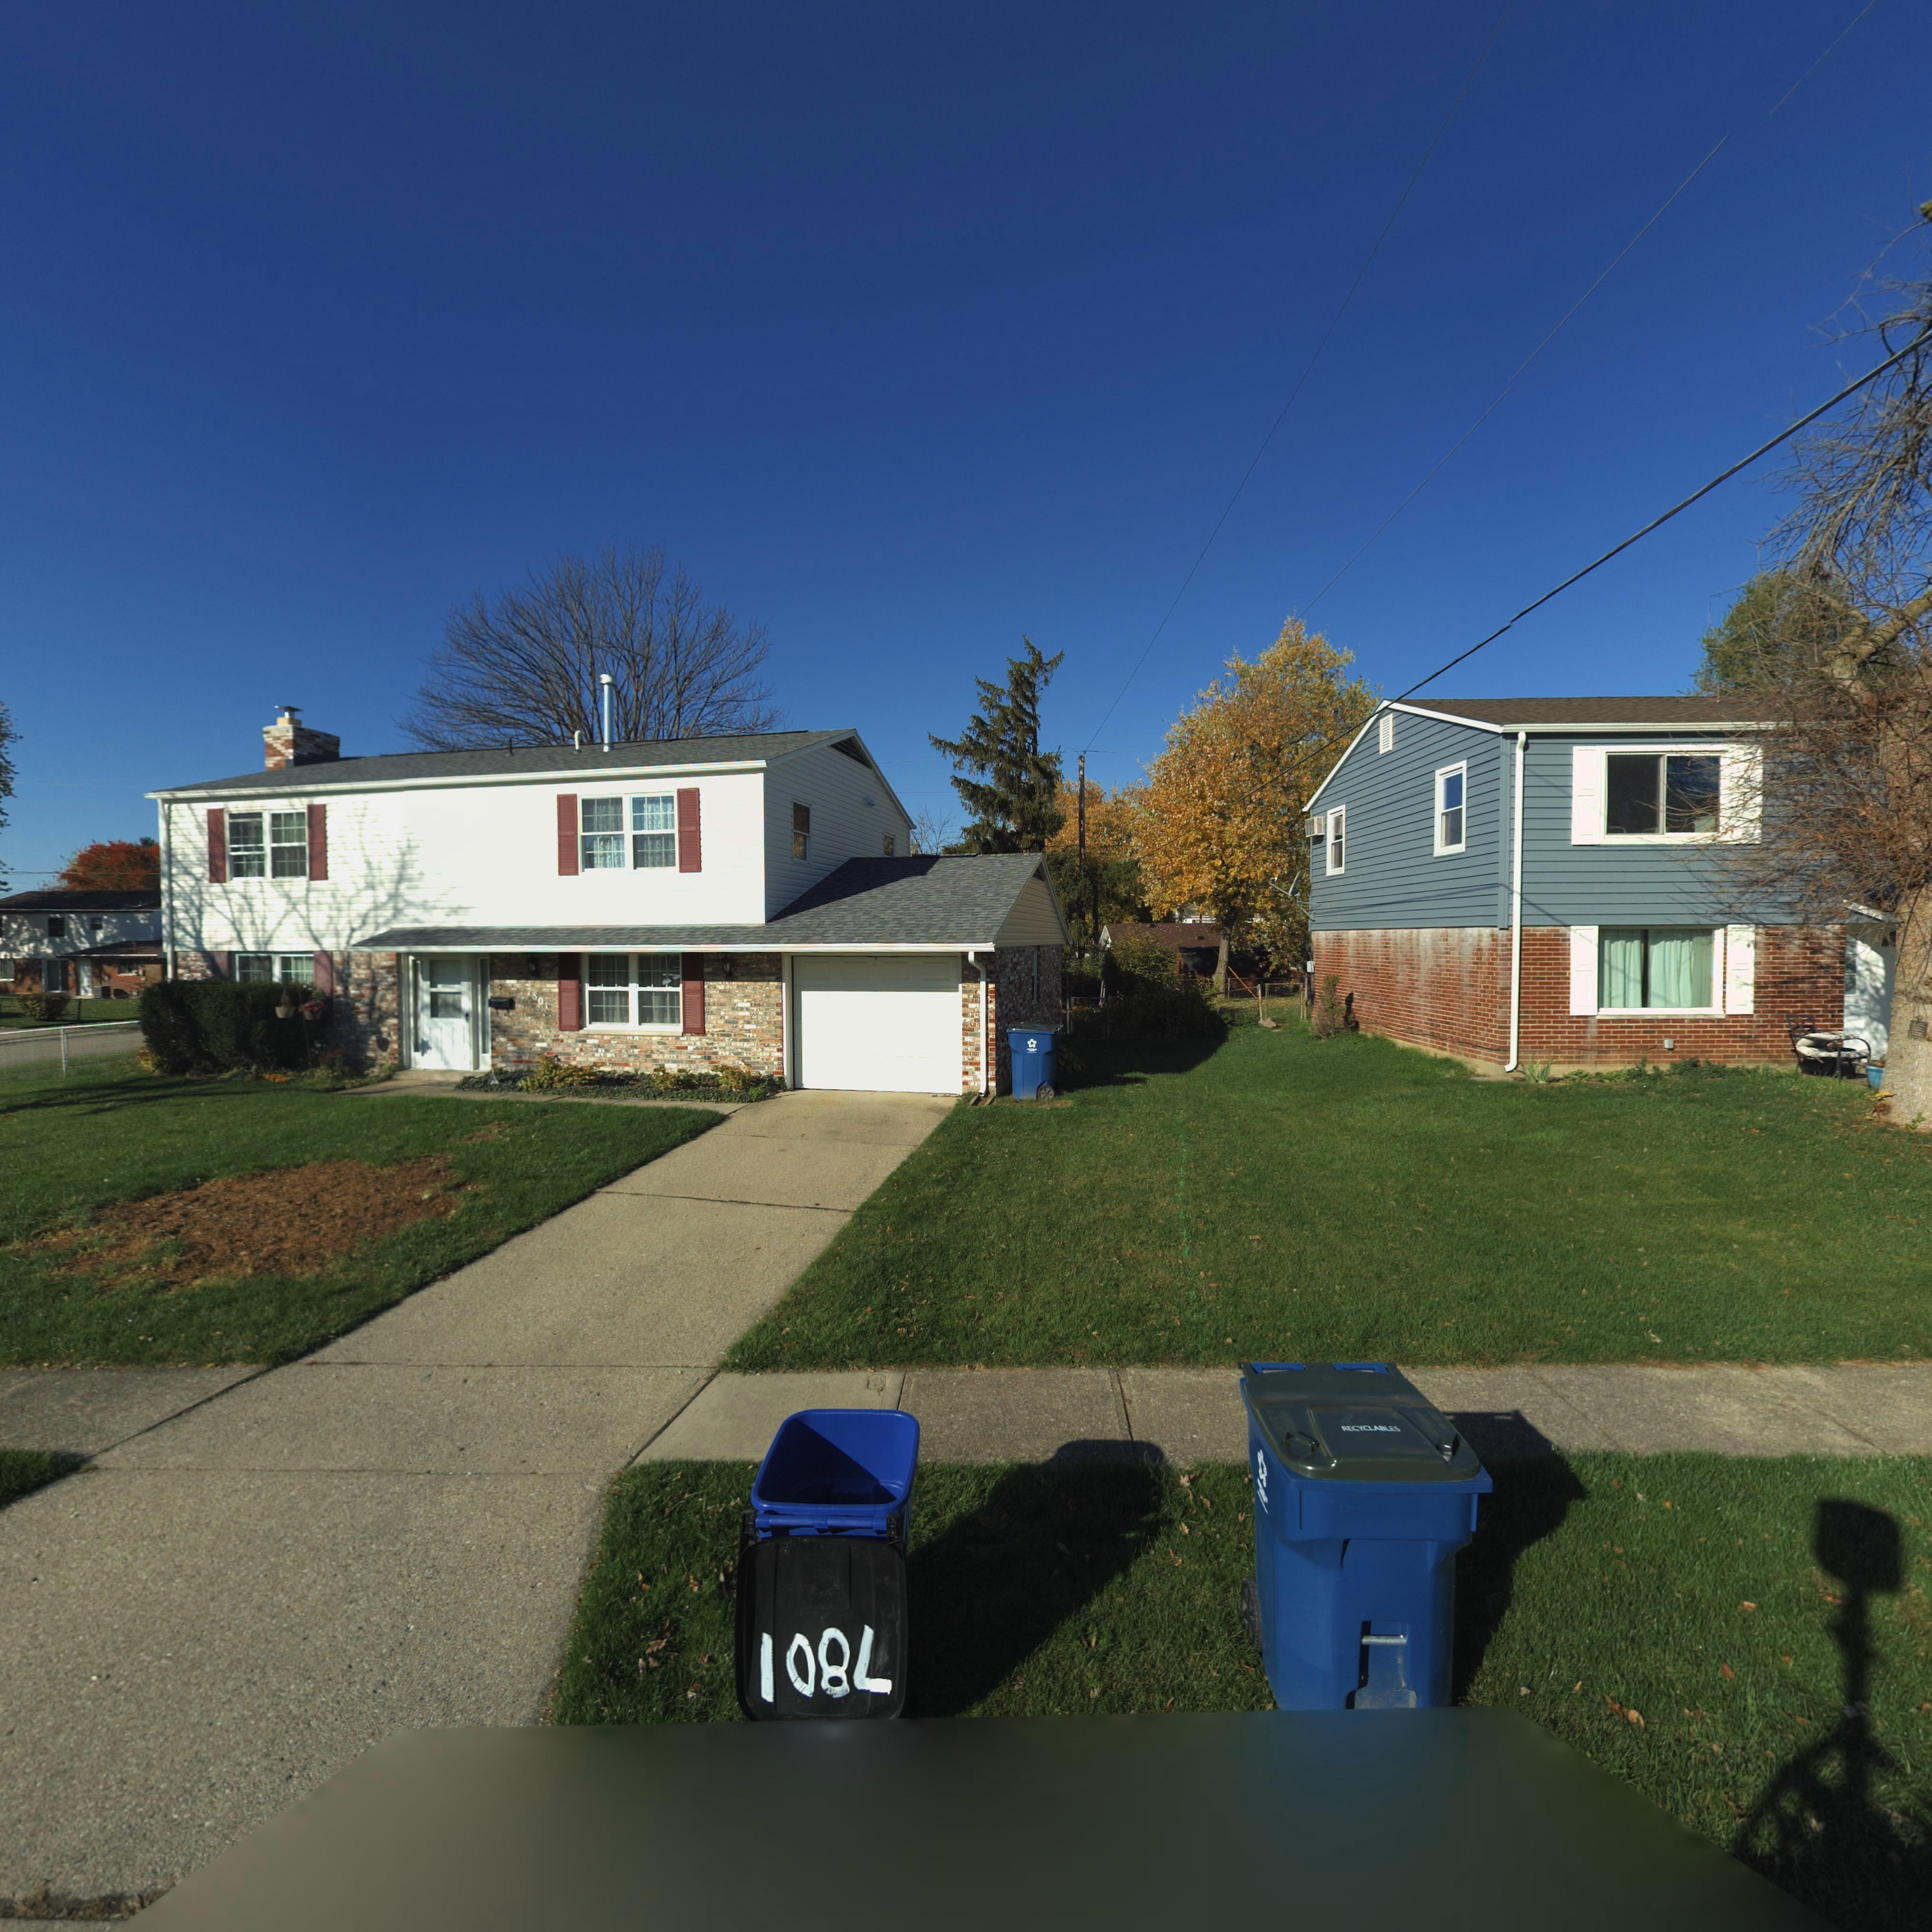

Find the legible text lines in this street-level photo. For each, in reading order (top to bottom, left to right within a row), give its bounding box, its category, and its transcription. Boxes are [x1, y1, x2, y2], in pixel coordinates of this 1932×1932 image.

[526, 987, 549, 1011] StreetNumber: 7801
[757, 1622, 896, 1705] StreetNumber: 108*